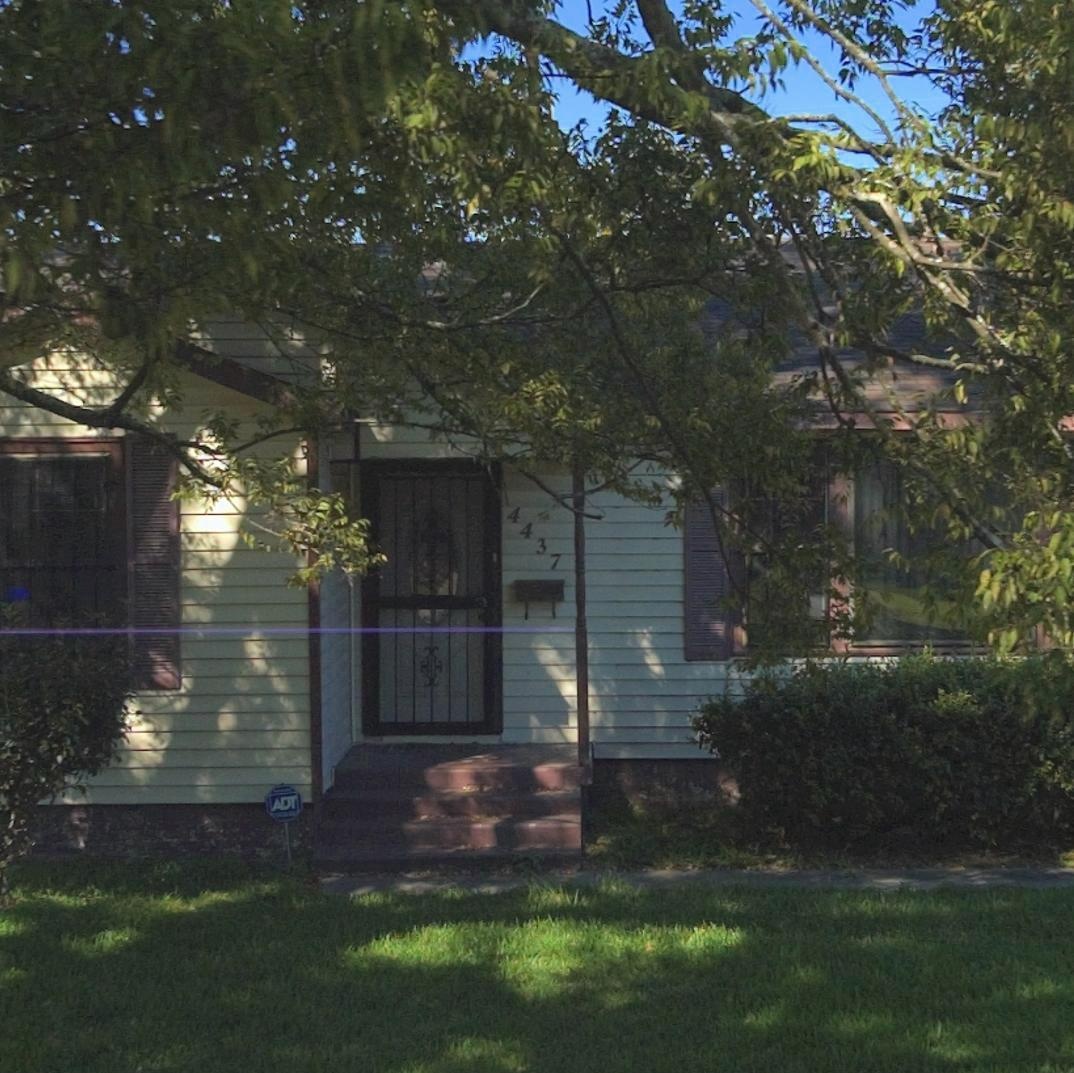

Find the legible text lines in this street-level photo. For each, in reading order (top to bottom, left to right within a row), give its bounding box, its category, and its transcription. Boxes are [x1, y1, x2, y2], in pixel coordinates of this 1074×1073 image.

[503, 504, 565, 575] StreetNumber: 443
[269, 794, 299, 813] None: ADT